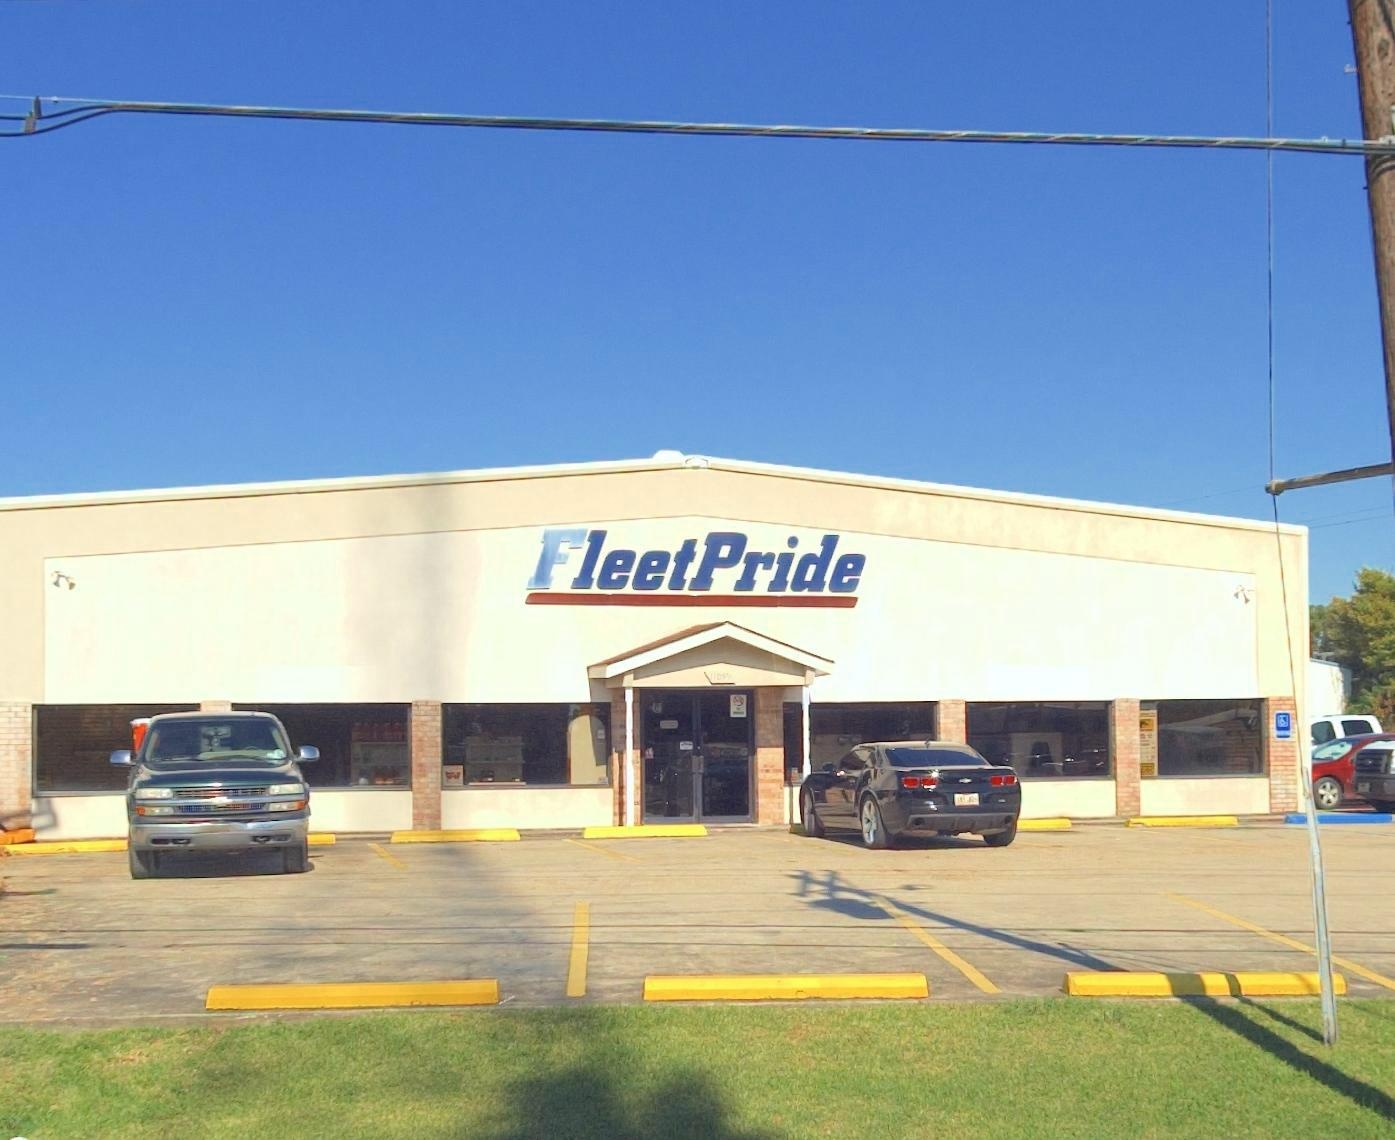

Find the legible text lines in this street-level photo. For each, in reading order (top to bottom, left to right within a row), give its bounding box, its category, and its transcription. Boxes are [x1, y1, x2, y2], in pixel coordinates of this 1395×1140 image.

[521, 525, 877, 596] BusinessName: Fleet Pride 
[707, 671, 733, 684] StreetNumber: 1109*